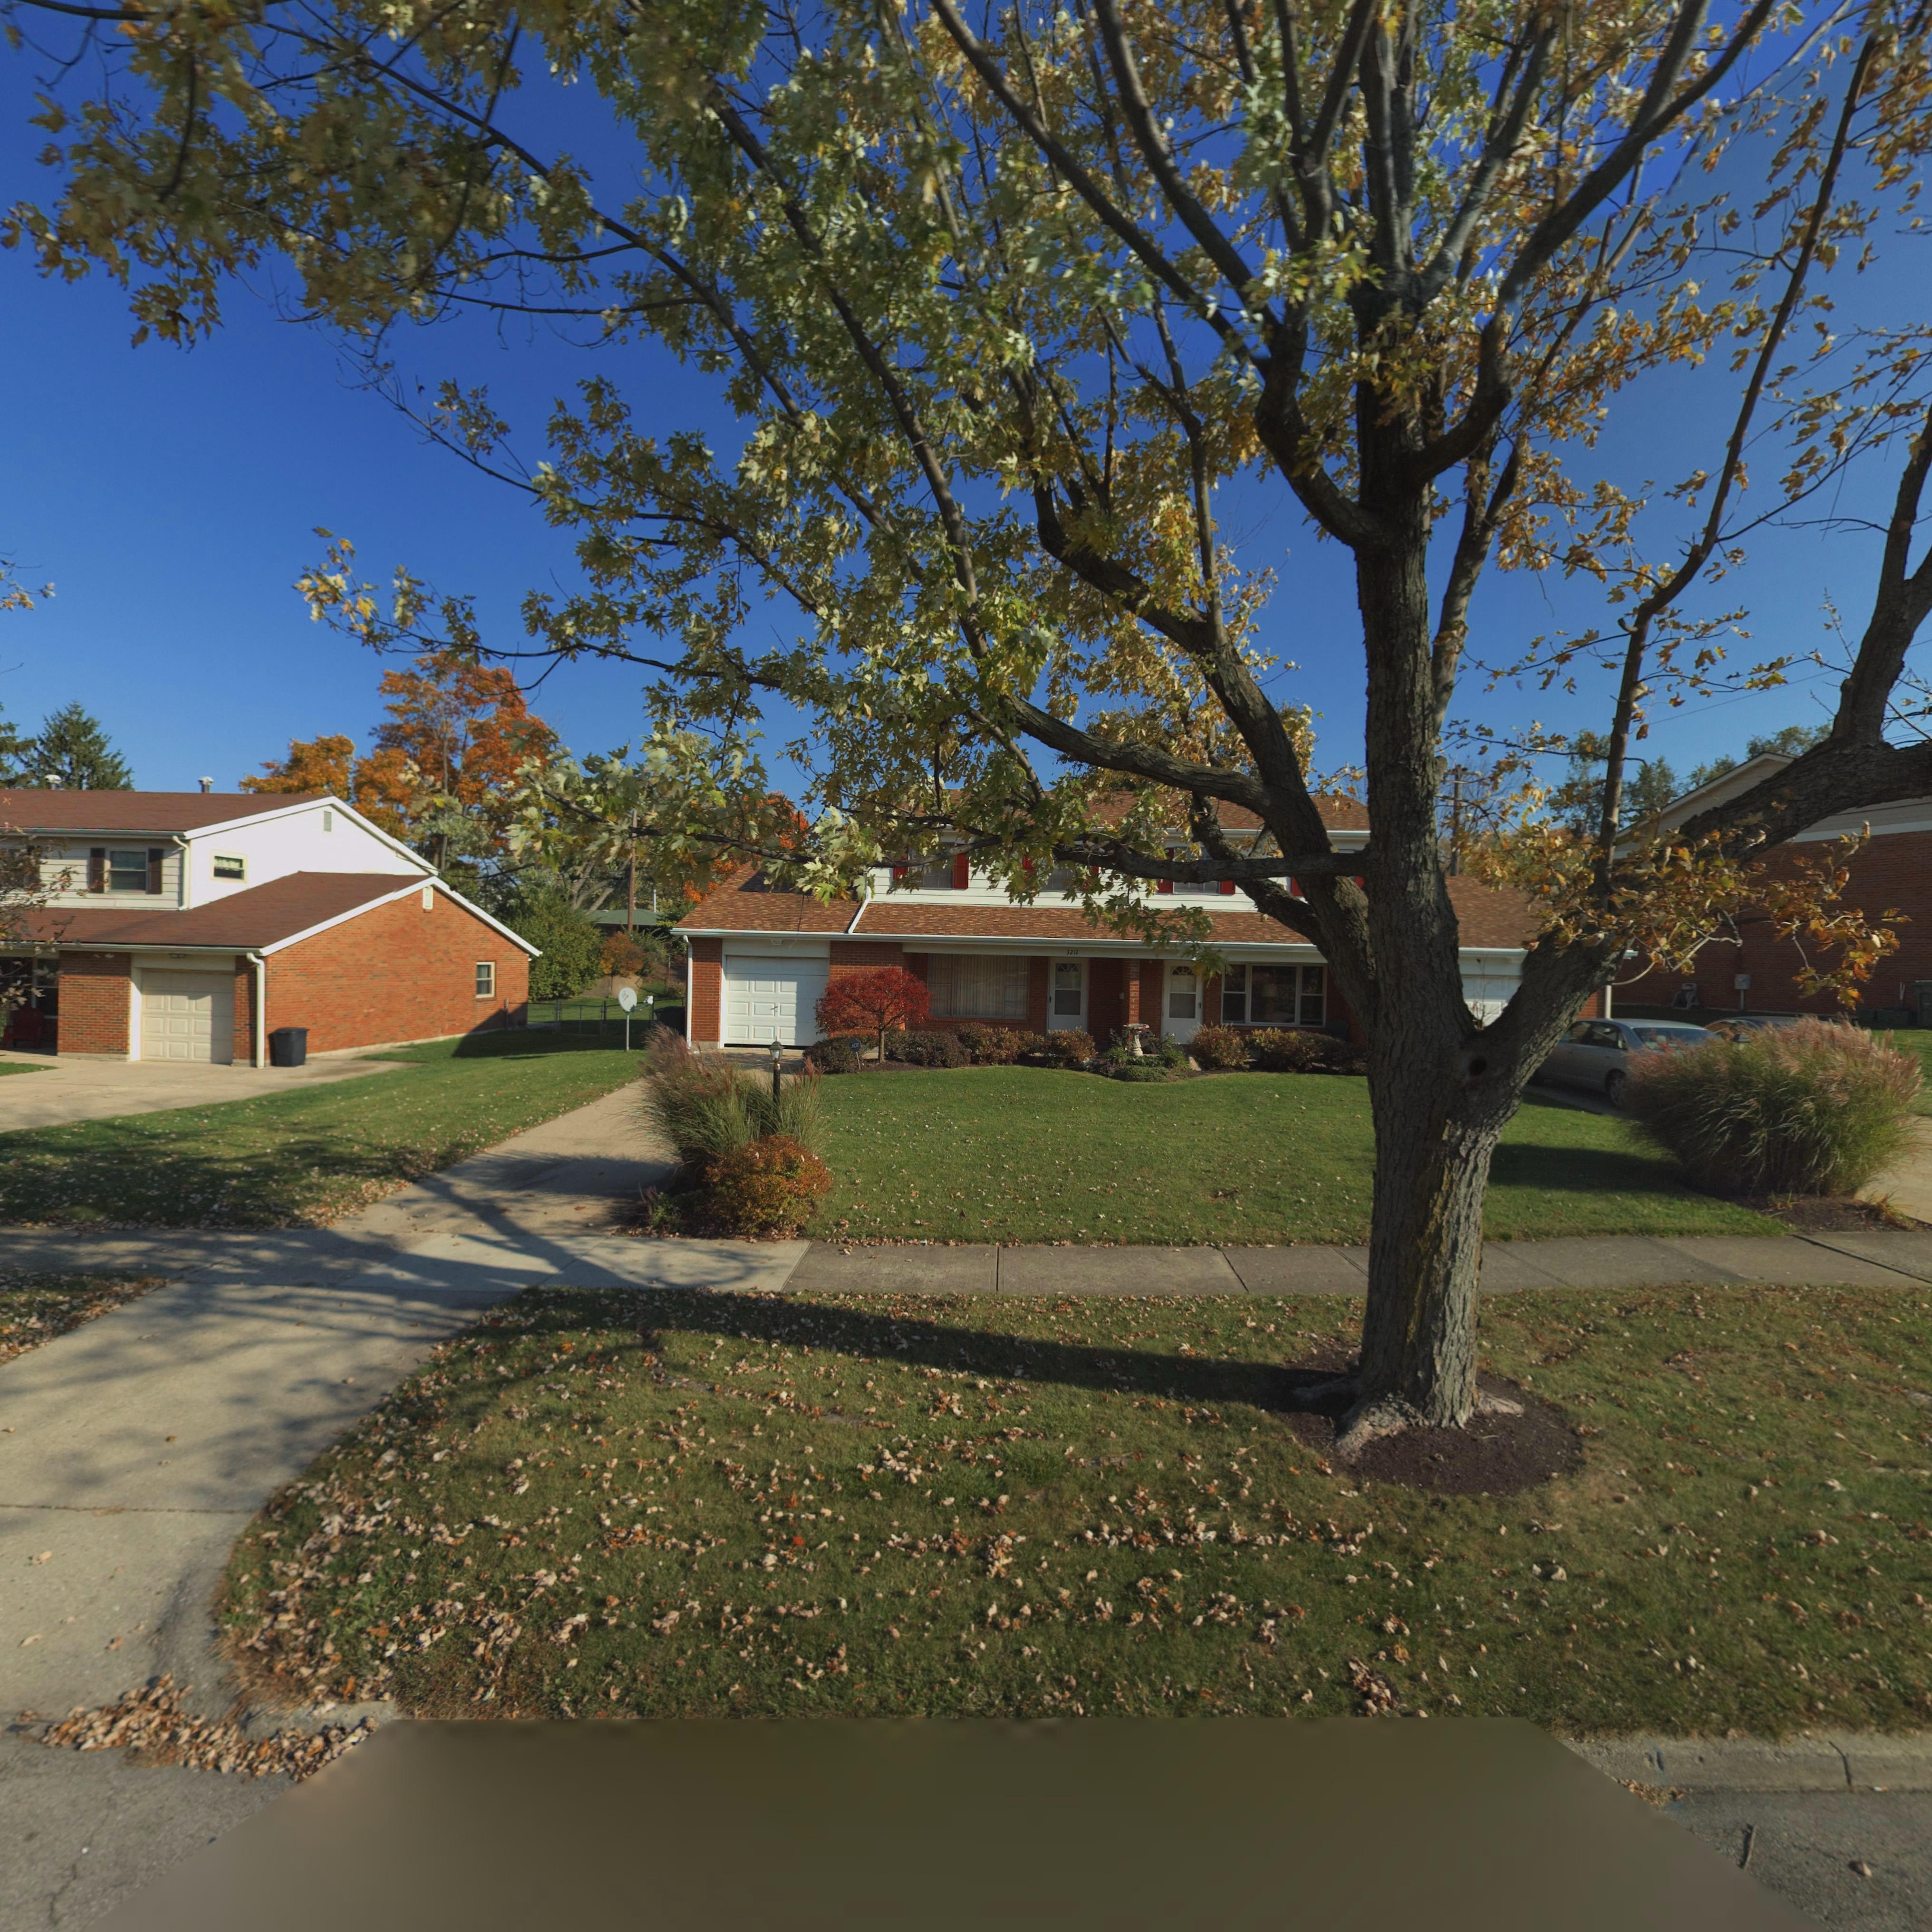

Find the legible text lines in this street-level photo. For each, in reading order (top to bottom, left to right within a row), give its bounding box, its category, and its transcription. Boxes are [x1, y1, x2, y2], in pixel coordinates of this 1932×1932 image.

[1066, 949, 1079, 955] StreetNumber: 3212